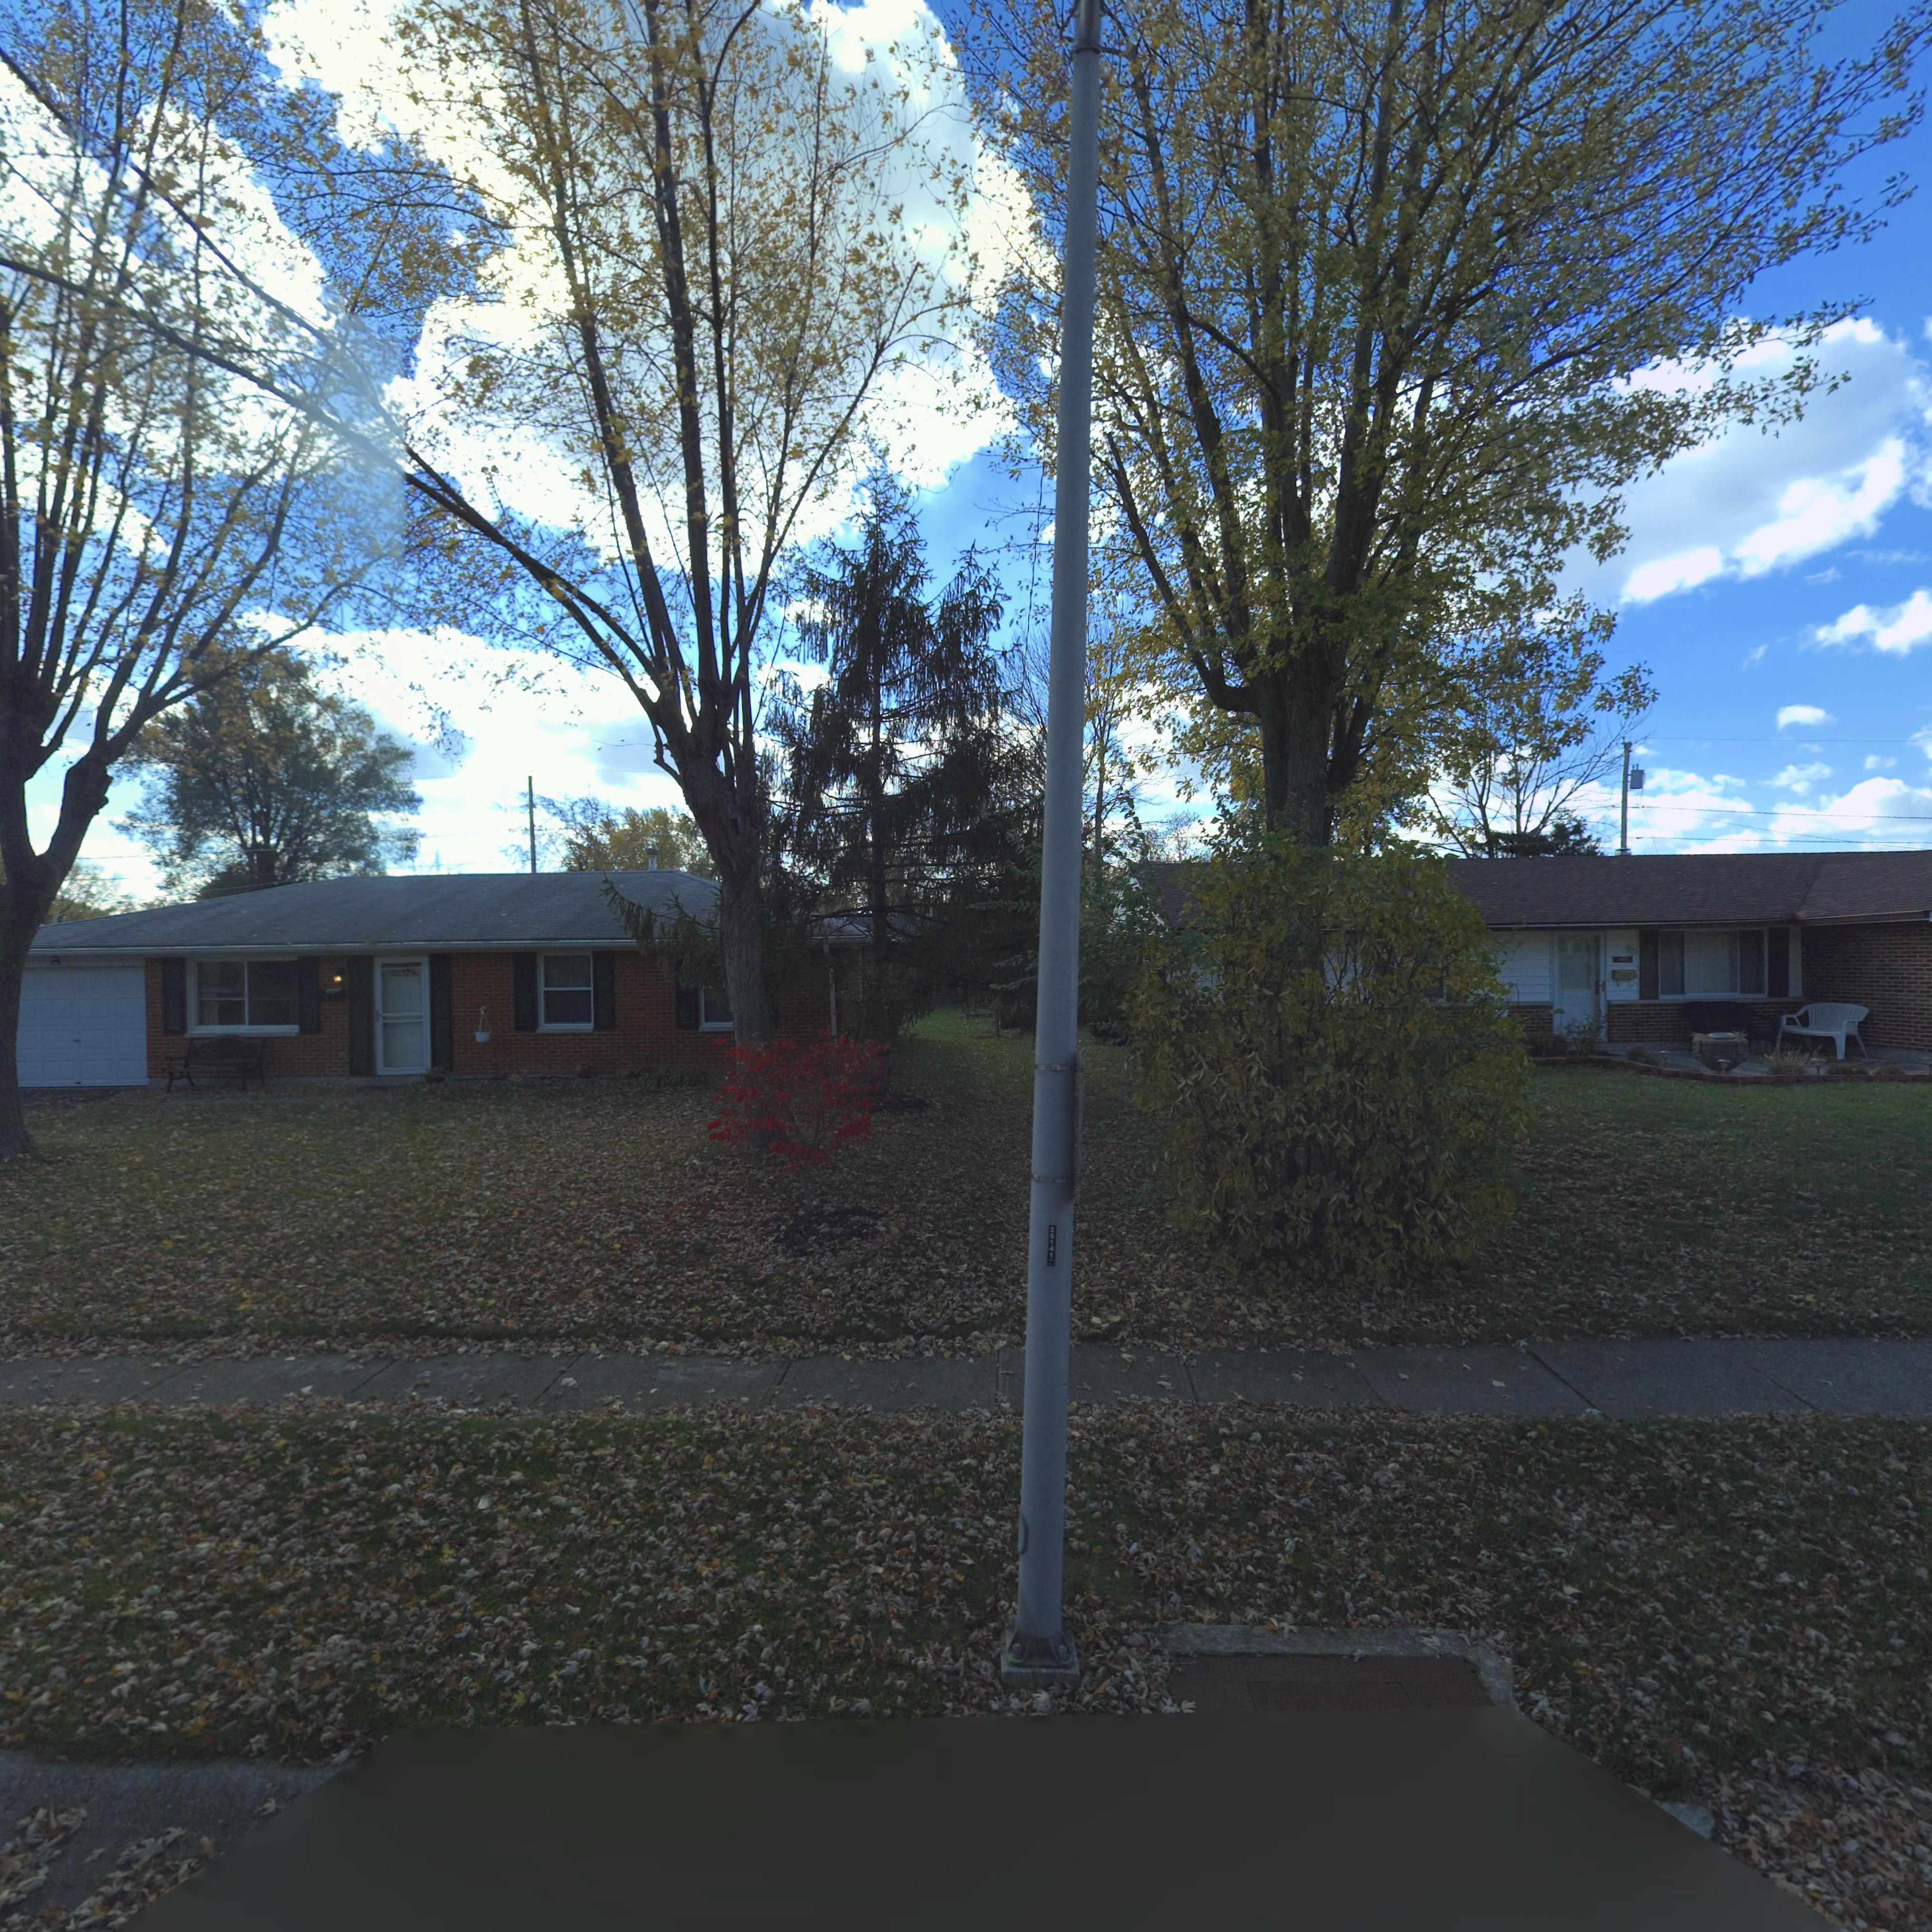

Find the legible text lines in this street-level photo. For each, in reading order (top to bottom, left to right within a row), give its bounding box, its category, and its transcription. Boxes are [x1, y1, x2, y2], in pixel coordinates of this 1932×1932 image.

[1618, 957, 1628, 961] StreetNumber: 7***